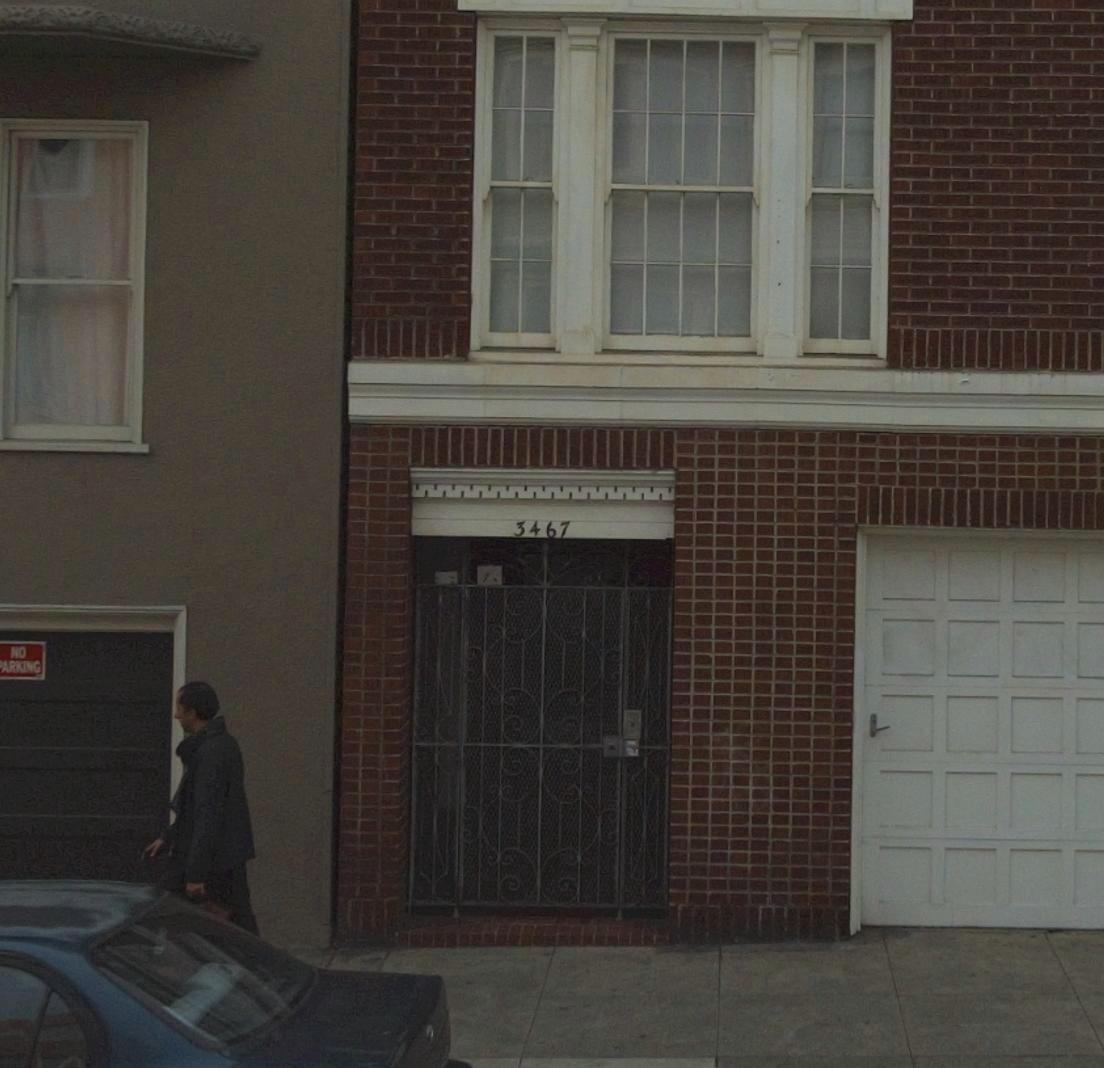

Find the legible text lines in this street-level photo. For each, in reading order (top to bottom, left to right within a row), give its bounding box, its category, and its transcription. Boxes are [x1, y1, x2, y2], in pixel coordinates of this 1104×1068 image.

[513, 519, 573, 538] StreetNumber: 3467
[10, 646, 27, 659] None: NO
[1, 660, 41, 674] None: ARKING